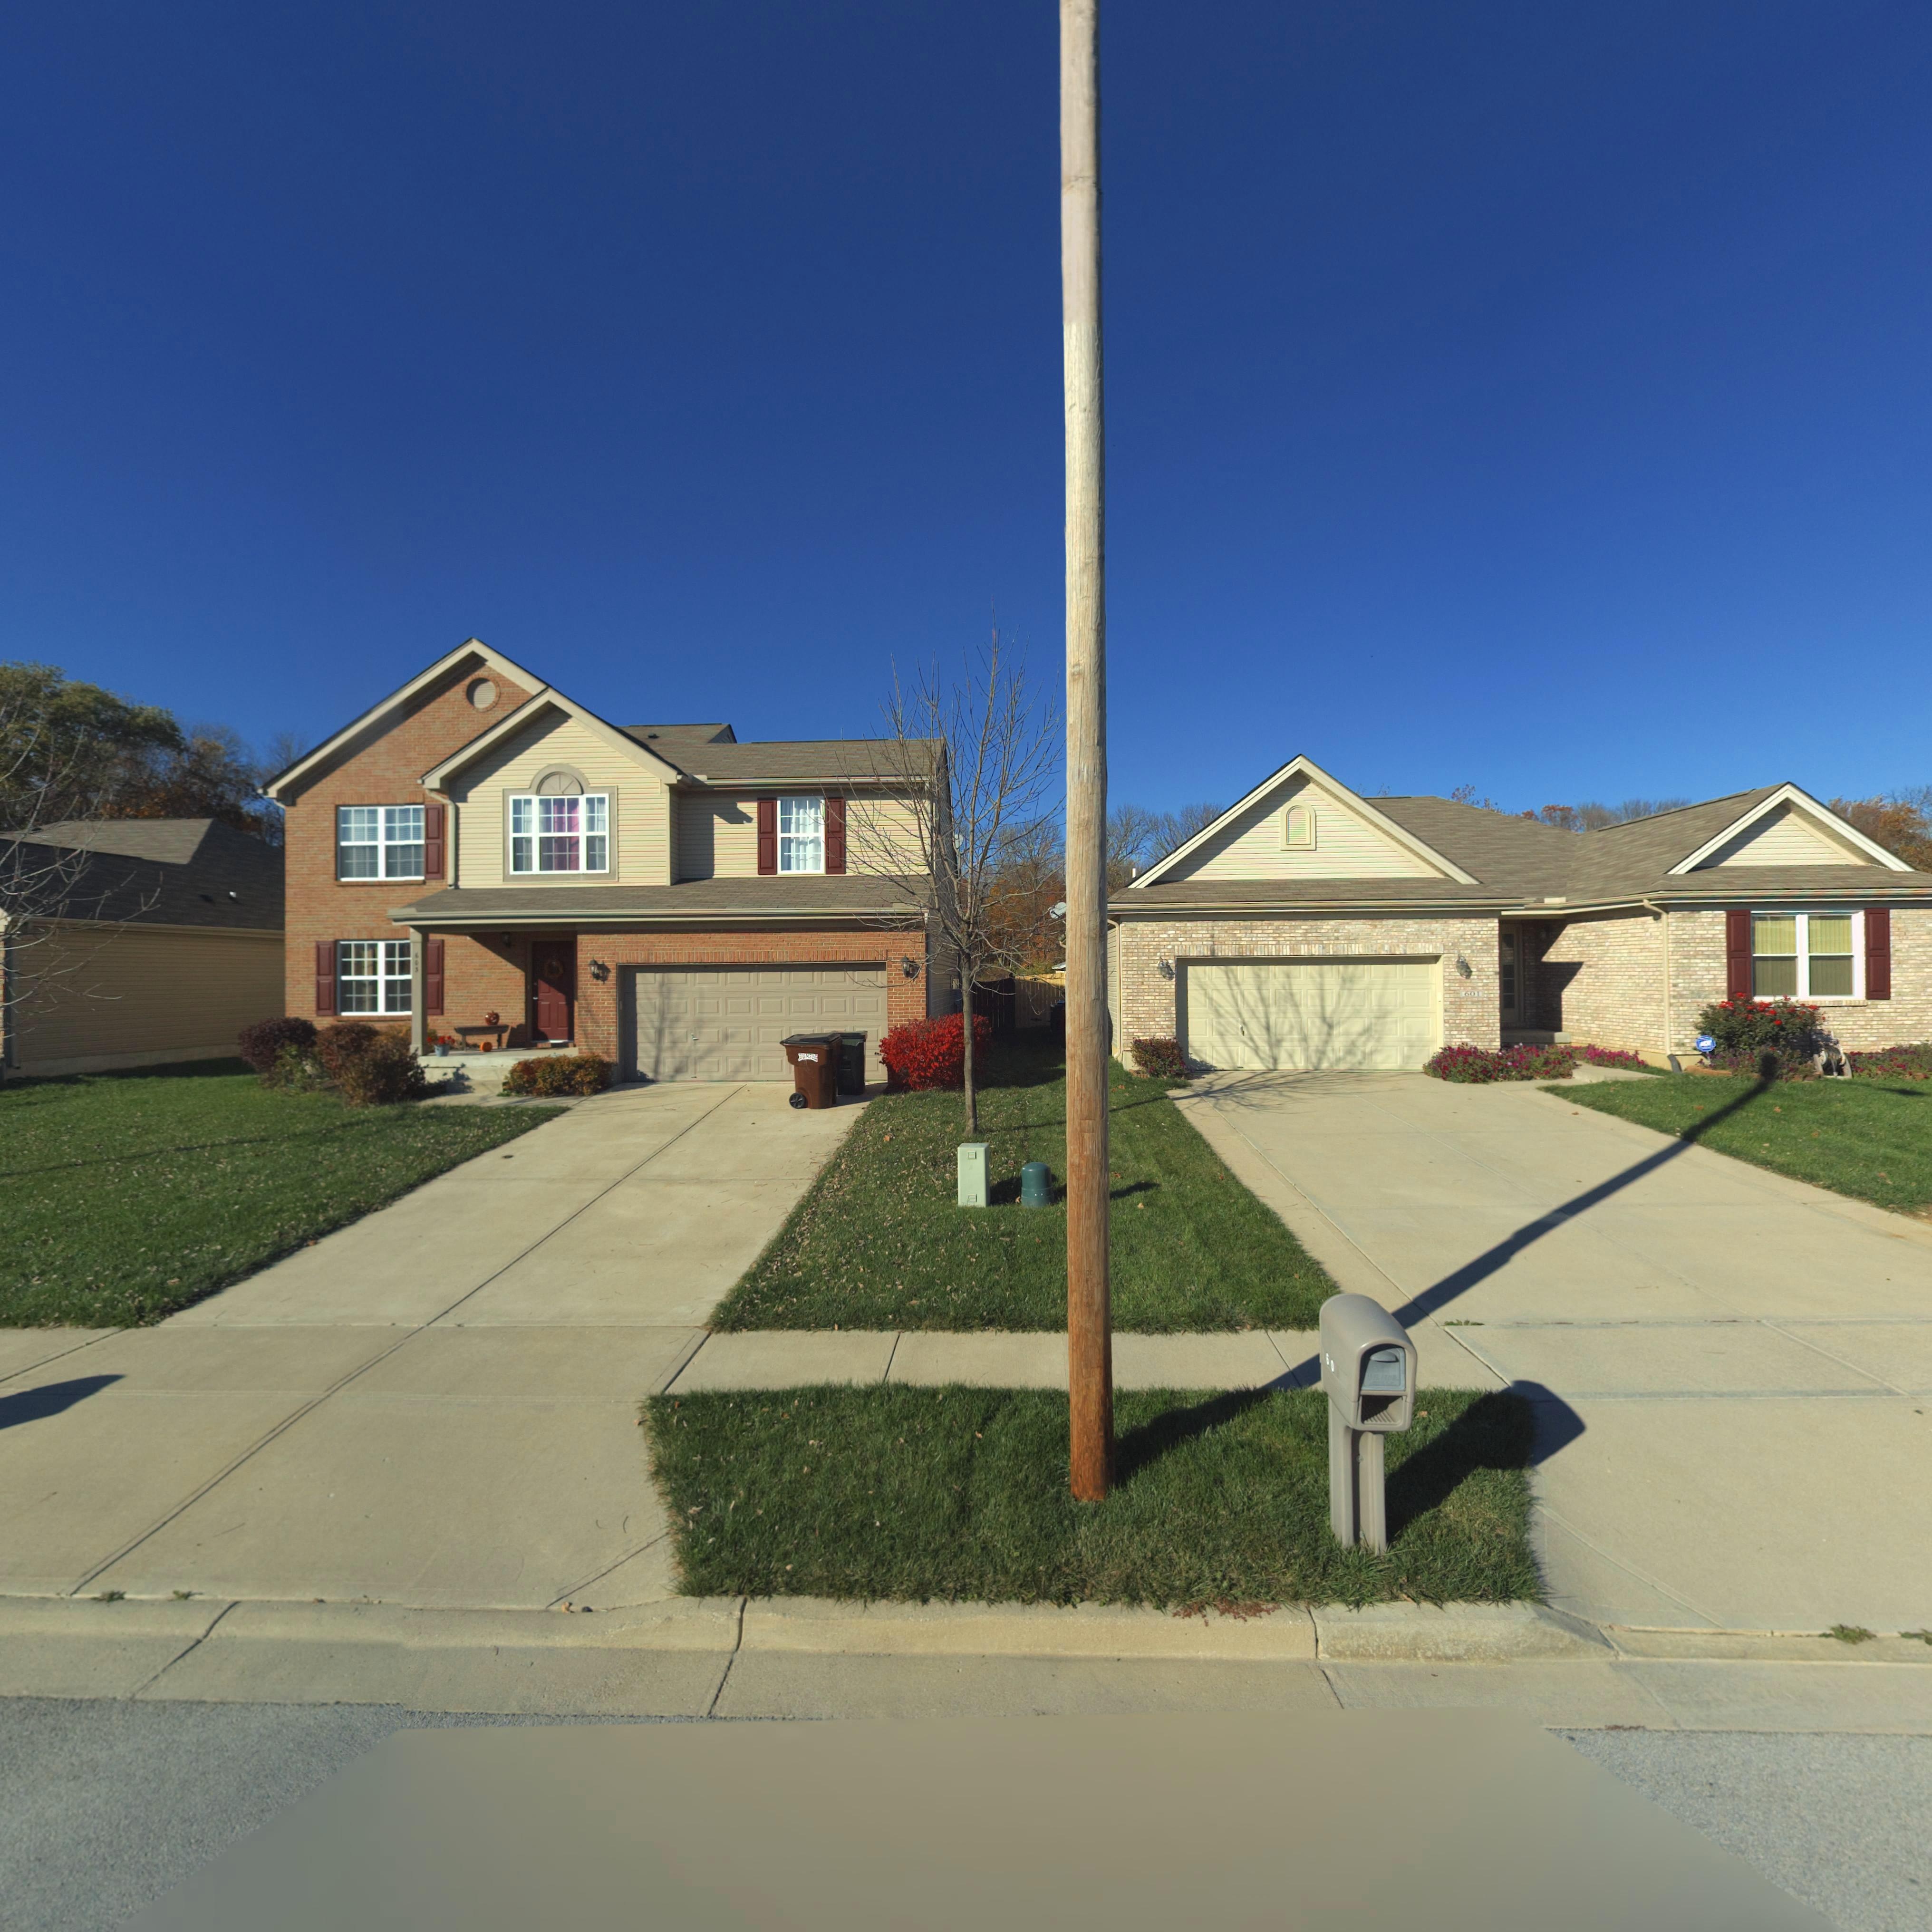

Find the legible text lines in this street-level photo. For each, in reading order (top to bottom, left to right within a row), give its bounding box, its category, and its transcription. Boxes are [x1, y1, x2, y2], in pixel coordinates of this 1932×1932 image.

[414, 951, 419, 973] StreetNumber: 603
[1464, 991, 1479, 996] StreetNumber: 601
[1325, 1351, 1335, 1373] StreetNumber: 60